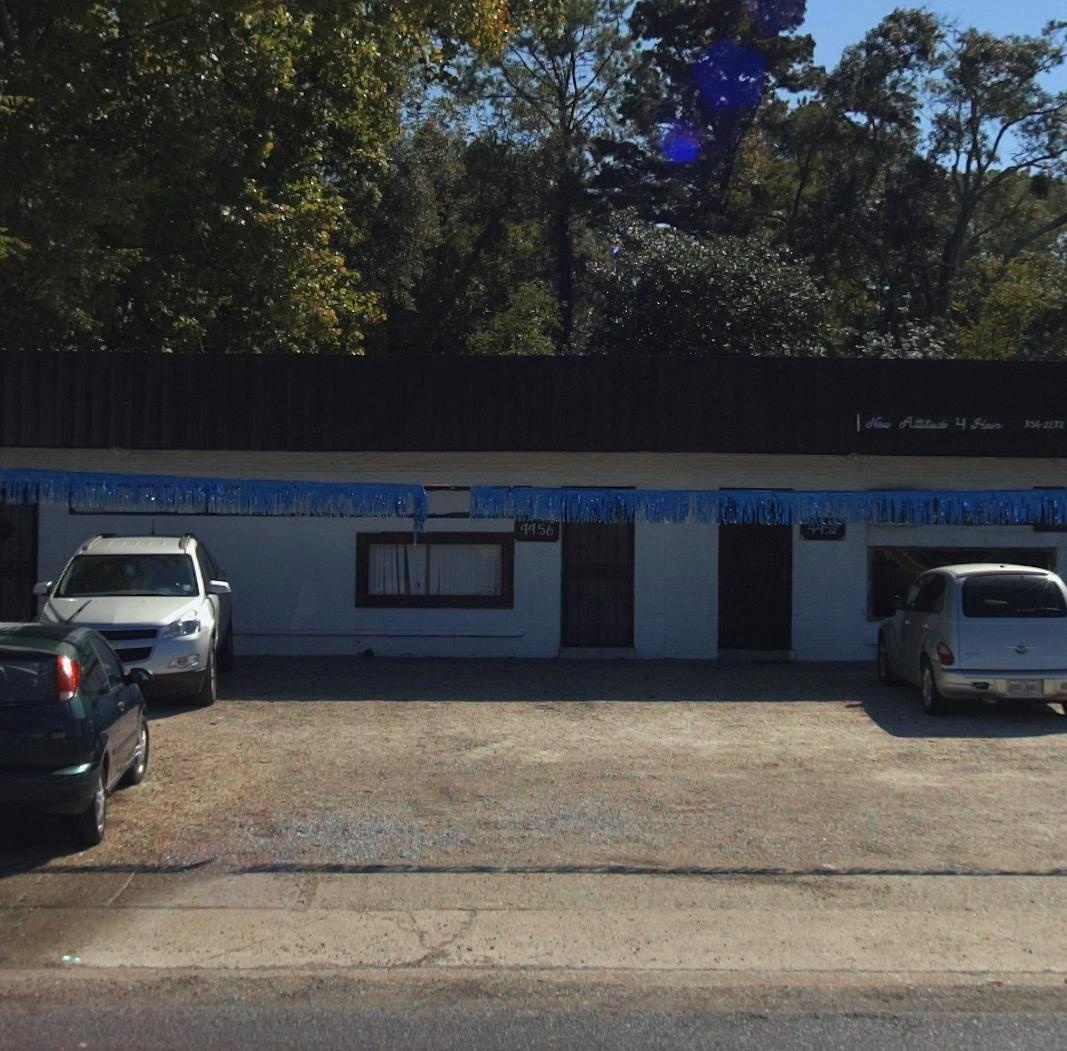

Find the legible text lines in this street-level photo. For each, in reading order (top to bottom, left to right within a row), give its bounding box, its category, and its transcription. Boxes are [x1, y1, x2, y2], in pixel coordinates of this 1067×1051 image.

[865, 412, 1004, 430] BusinessName: New Attitude 4 Hair
[1022, 414, 1063, 430] None: 3*4-2*72
[518, 521, 555, 537] StreetNumber: 4456
[807, 520, 839, 536] StreetNumber: 4452